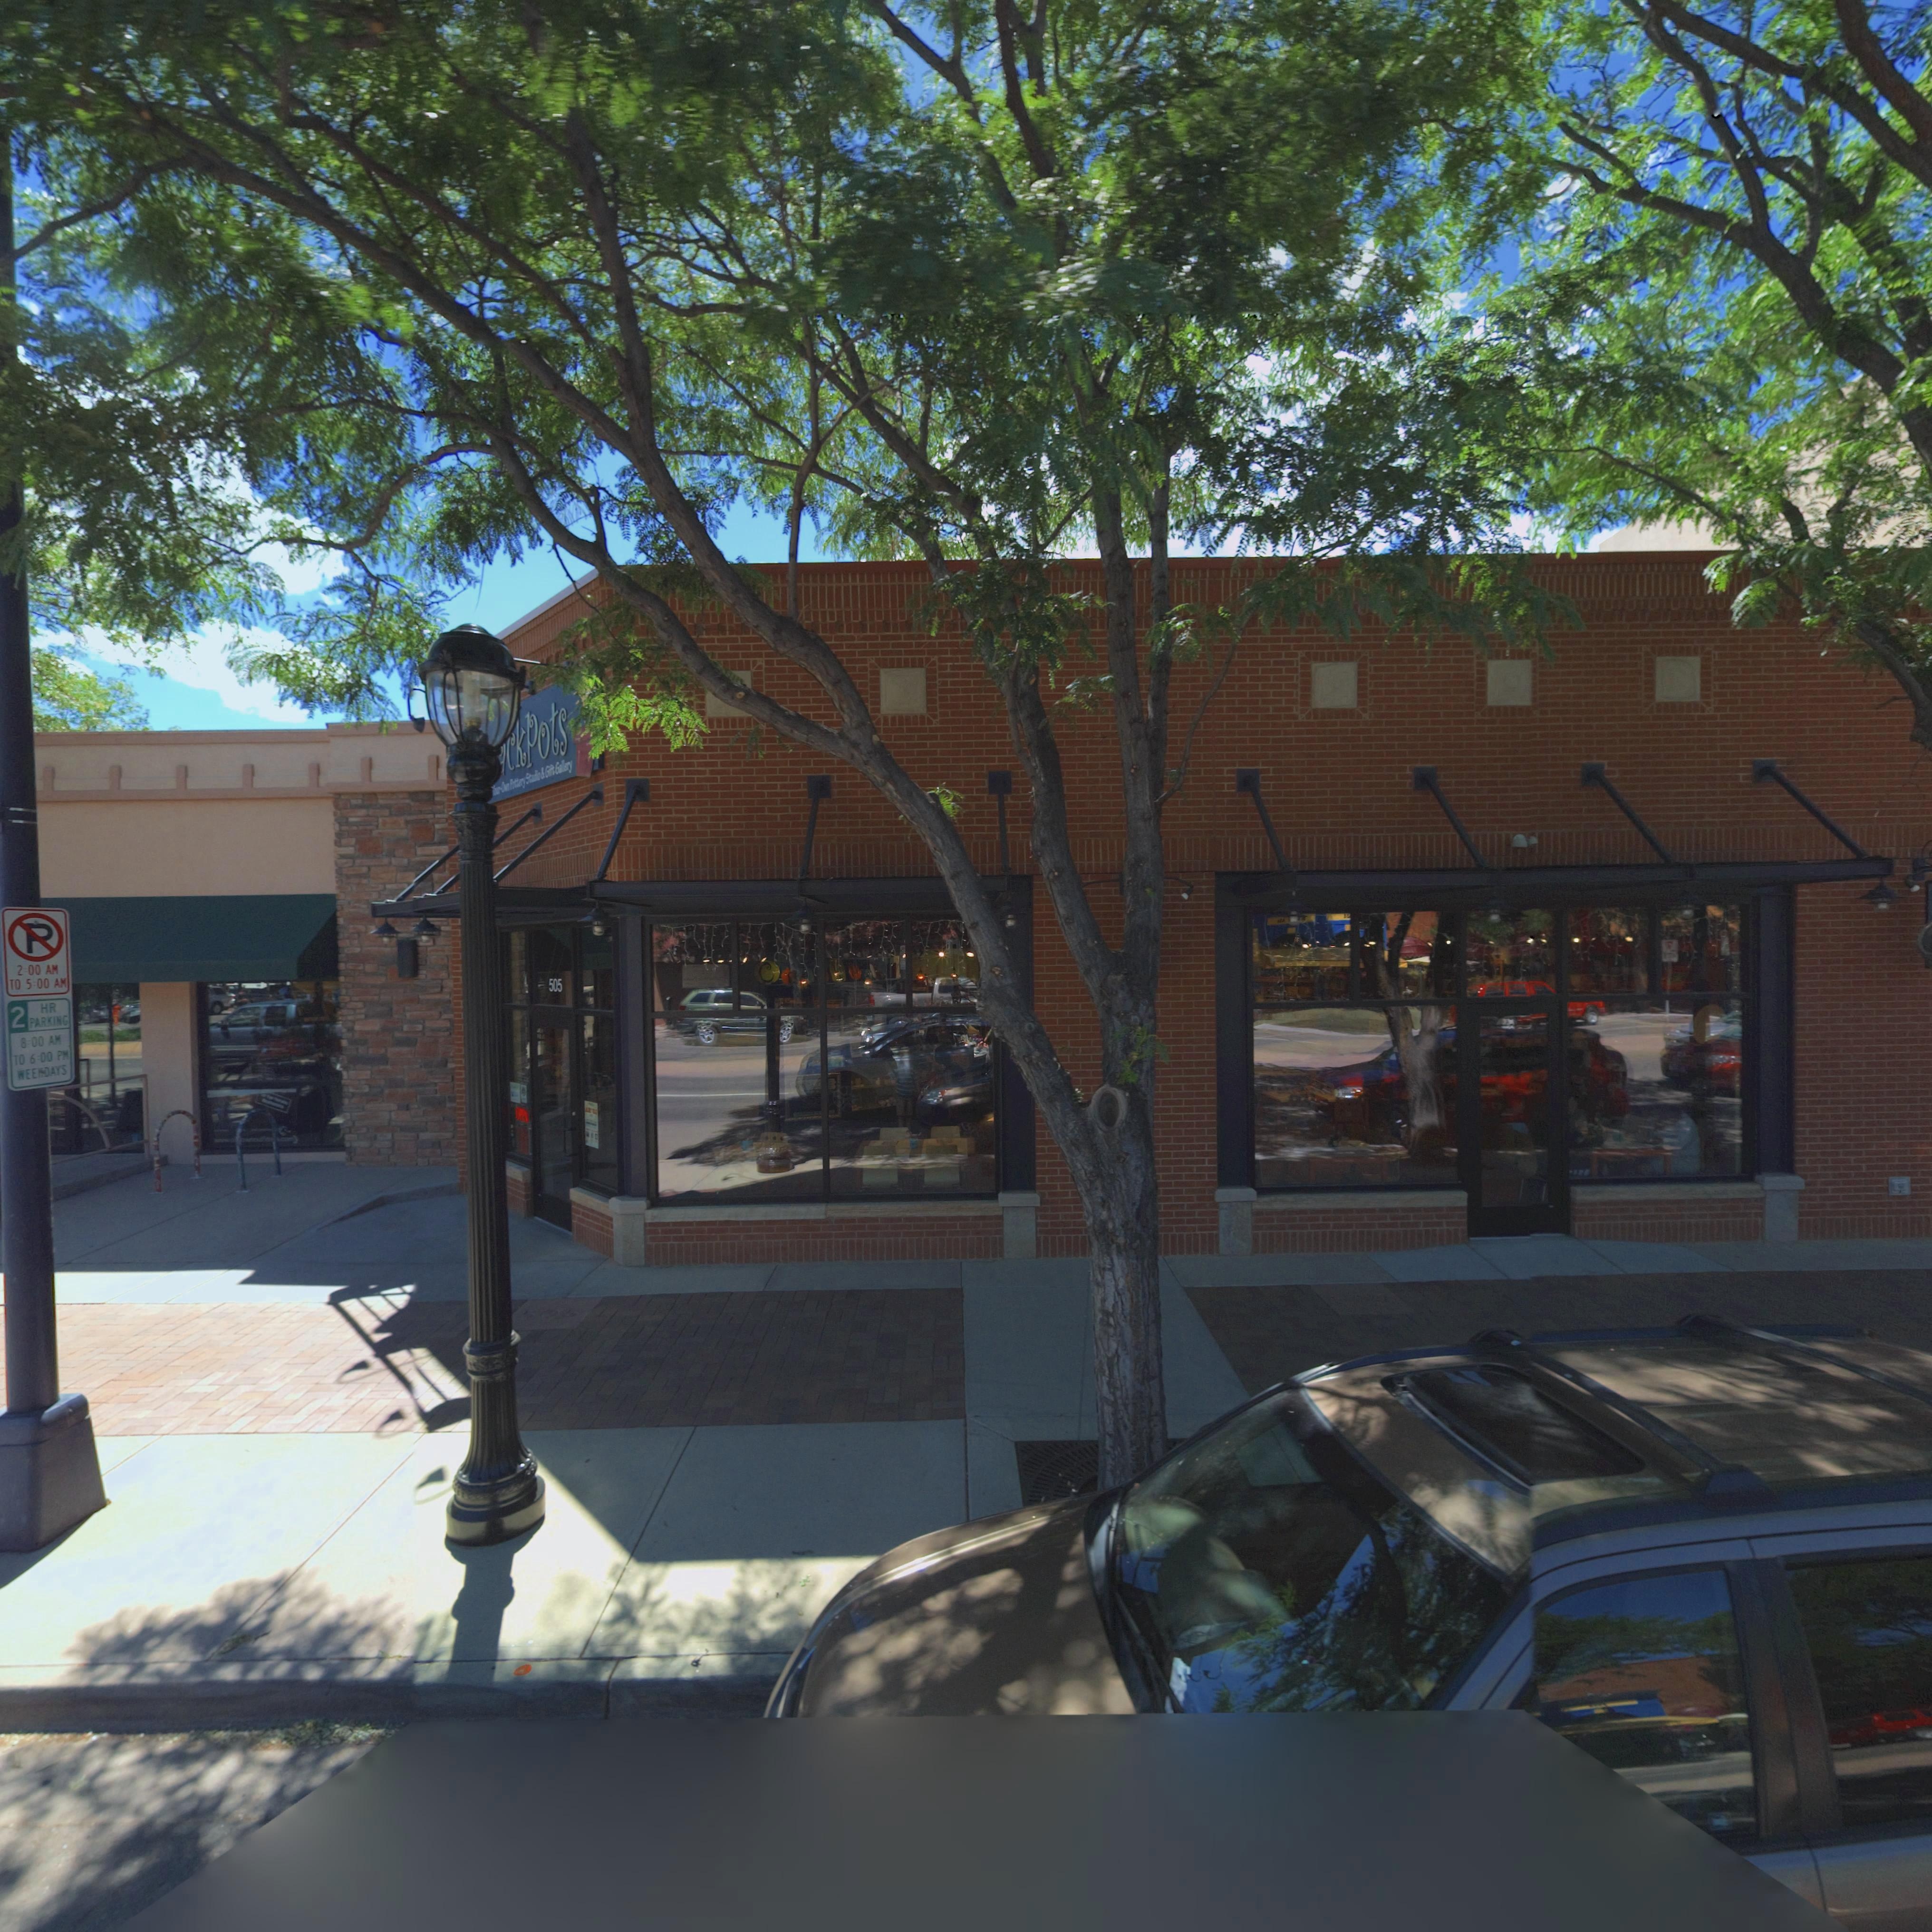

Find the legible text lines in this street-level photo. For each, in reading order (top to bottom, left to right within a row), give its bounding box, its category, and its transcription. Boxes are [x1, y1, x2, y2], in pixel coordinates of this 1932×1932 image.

[500, 700, 568, 776] BusinessName: *ckPots
[548, 978, 563, 992] StreetNumber: 505